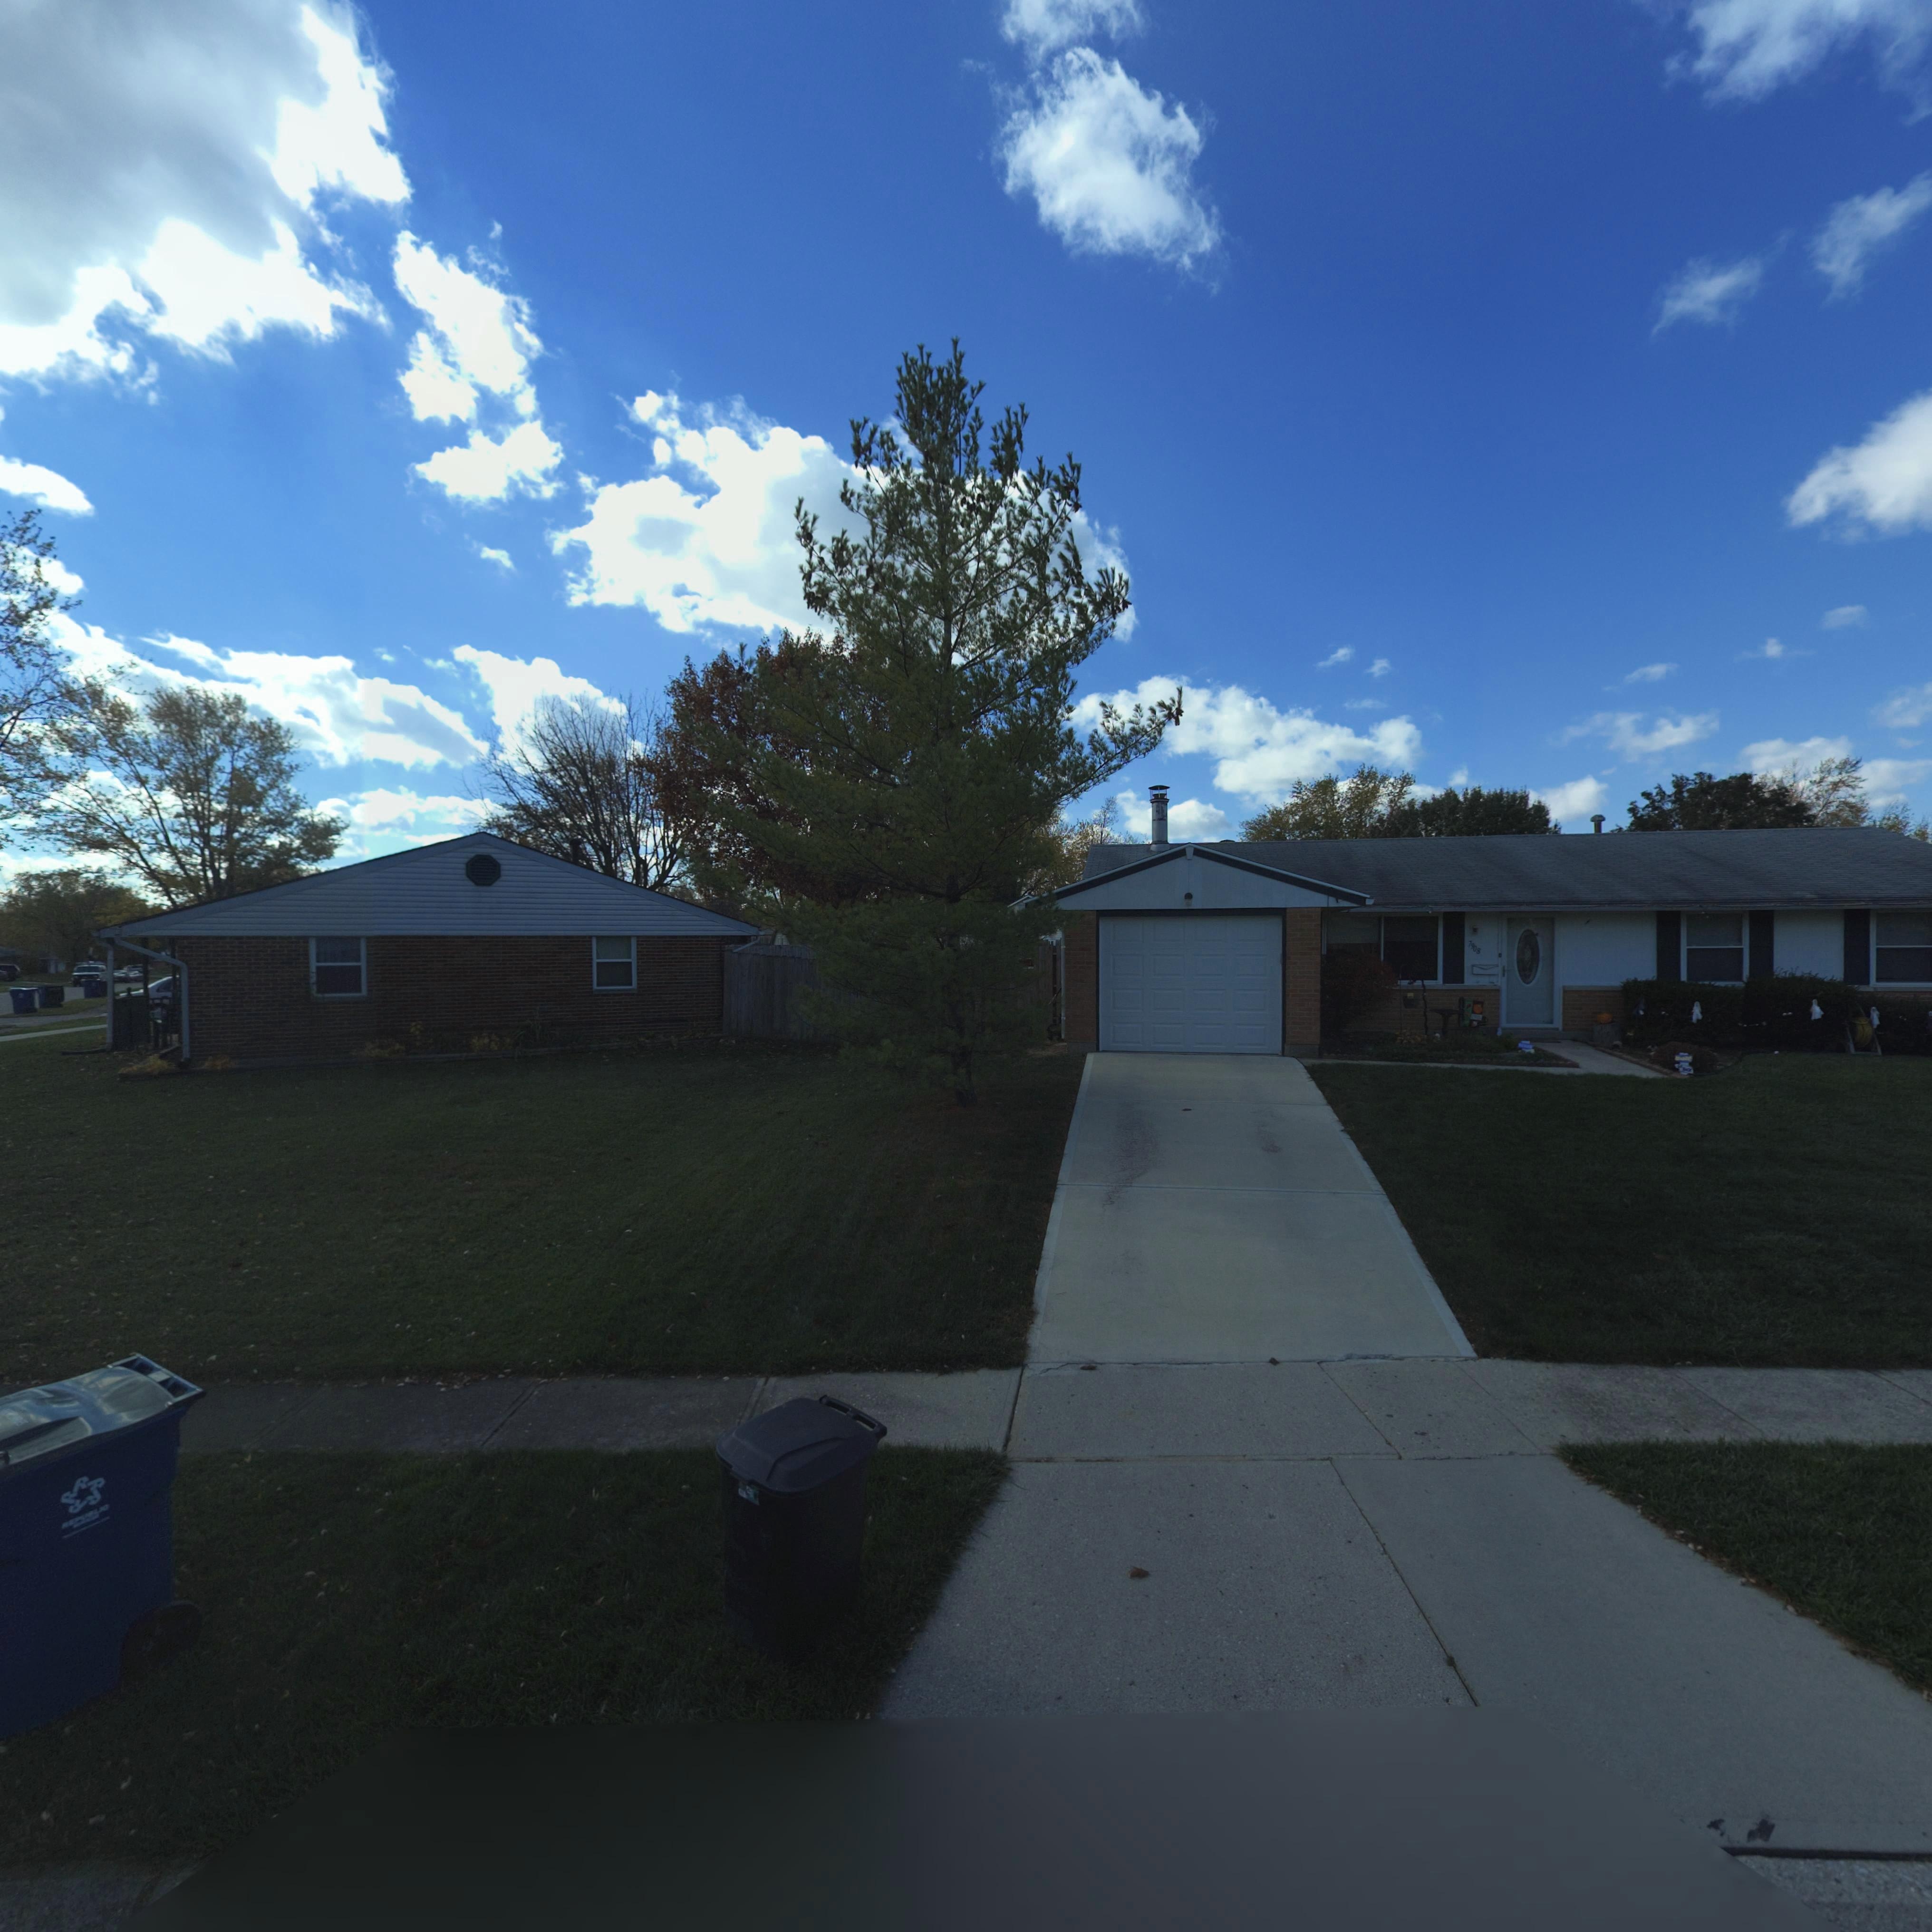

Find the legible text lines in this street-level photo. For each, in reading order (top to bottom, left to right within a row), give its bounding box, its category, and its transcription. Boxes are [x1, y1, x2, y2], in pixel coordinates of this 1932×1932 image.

[1467, 939, 1482, 955] StreetNumber: 7908